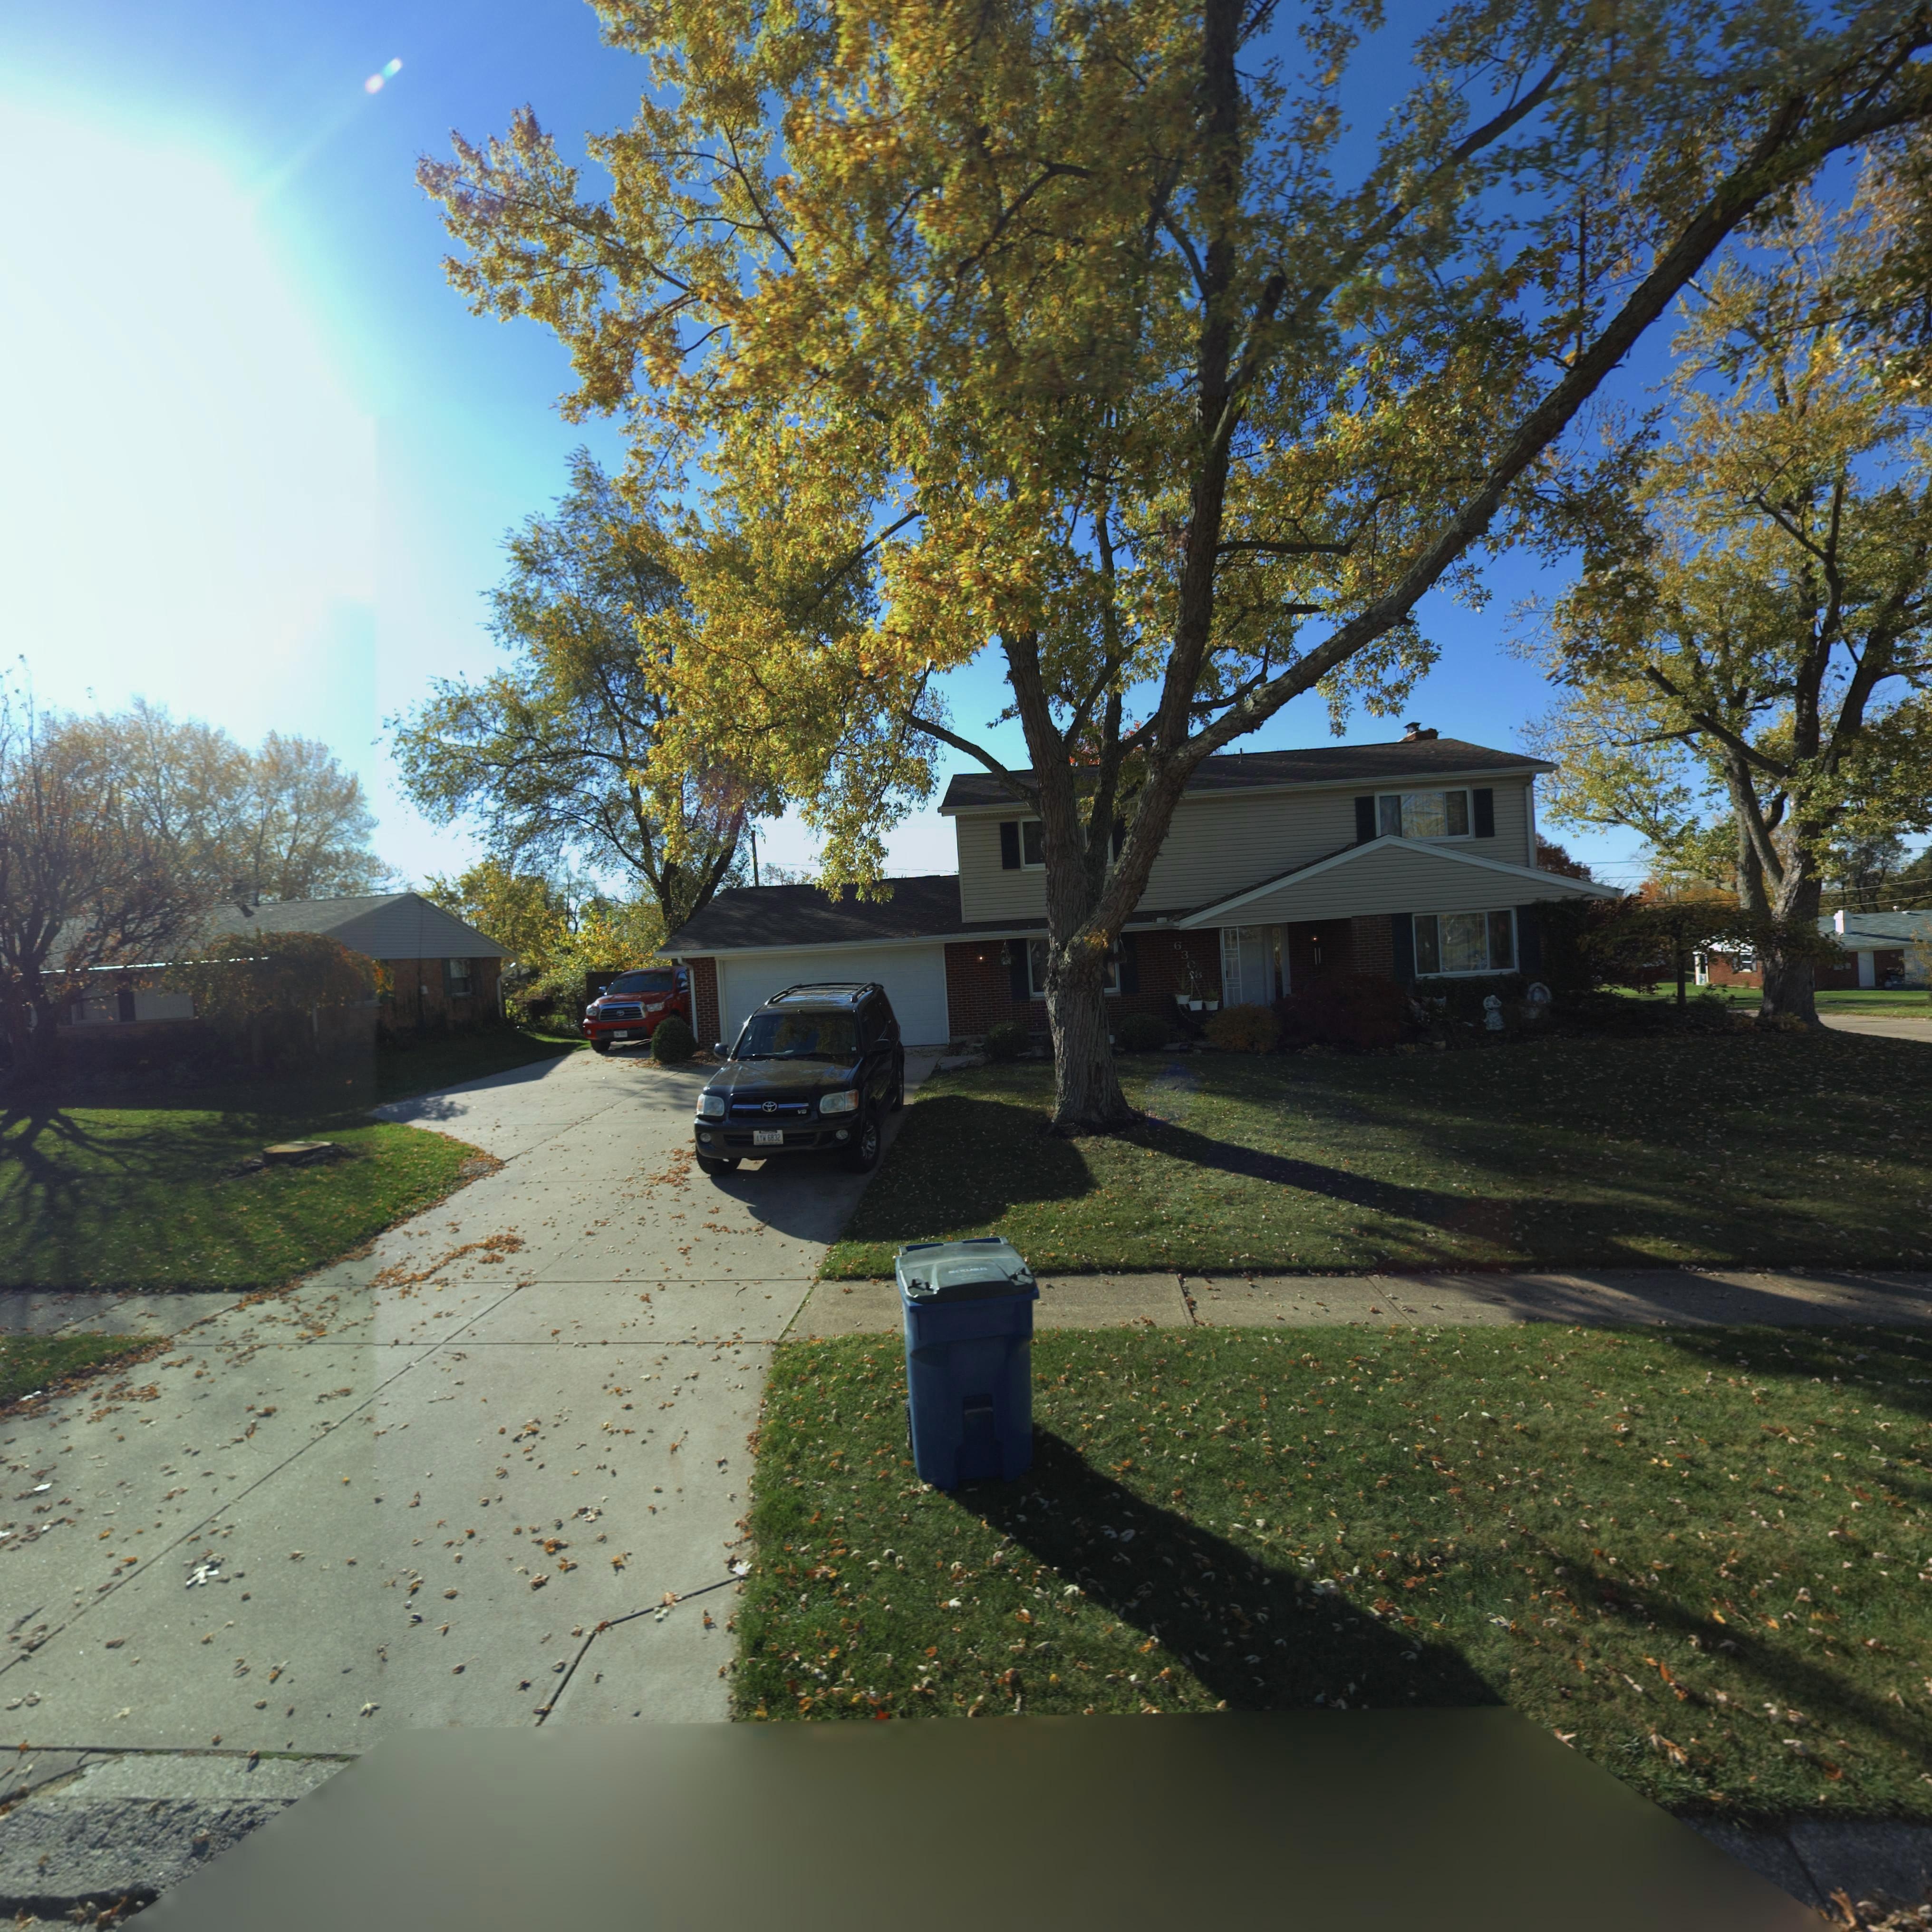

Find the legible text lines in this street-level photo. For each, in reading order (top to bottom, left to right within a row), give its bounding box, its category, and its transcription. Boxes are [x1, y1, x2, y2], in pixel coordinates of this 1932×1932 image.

[1173, 940, 1204, 981] StreetNumber: 63**